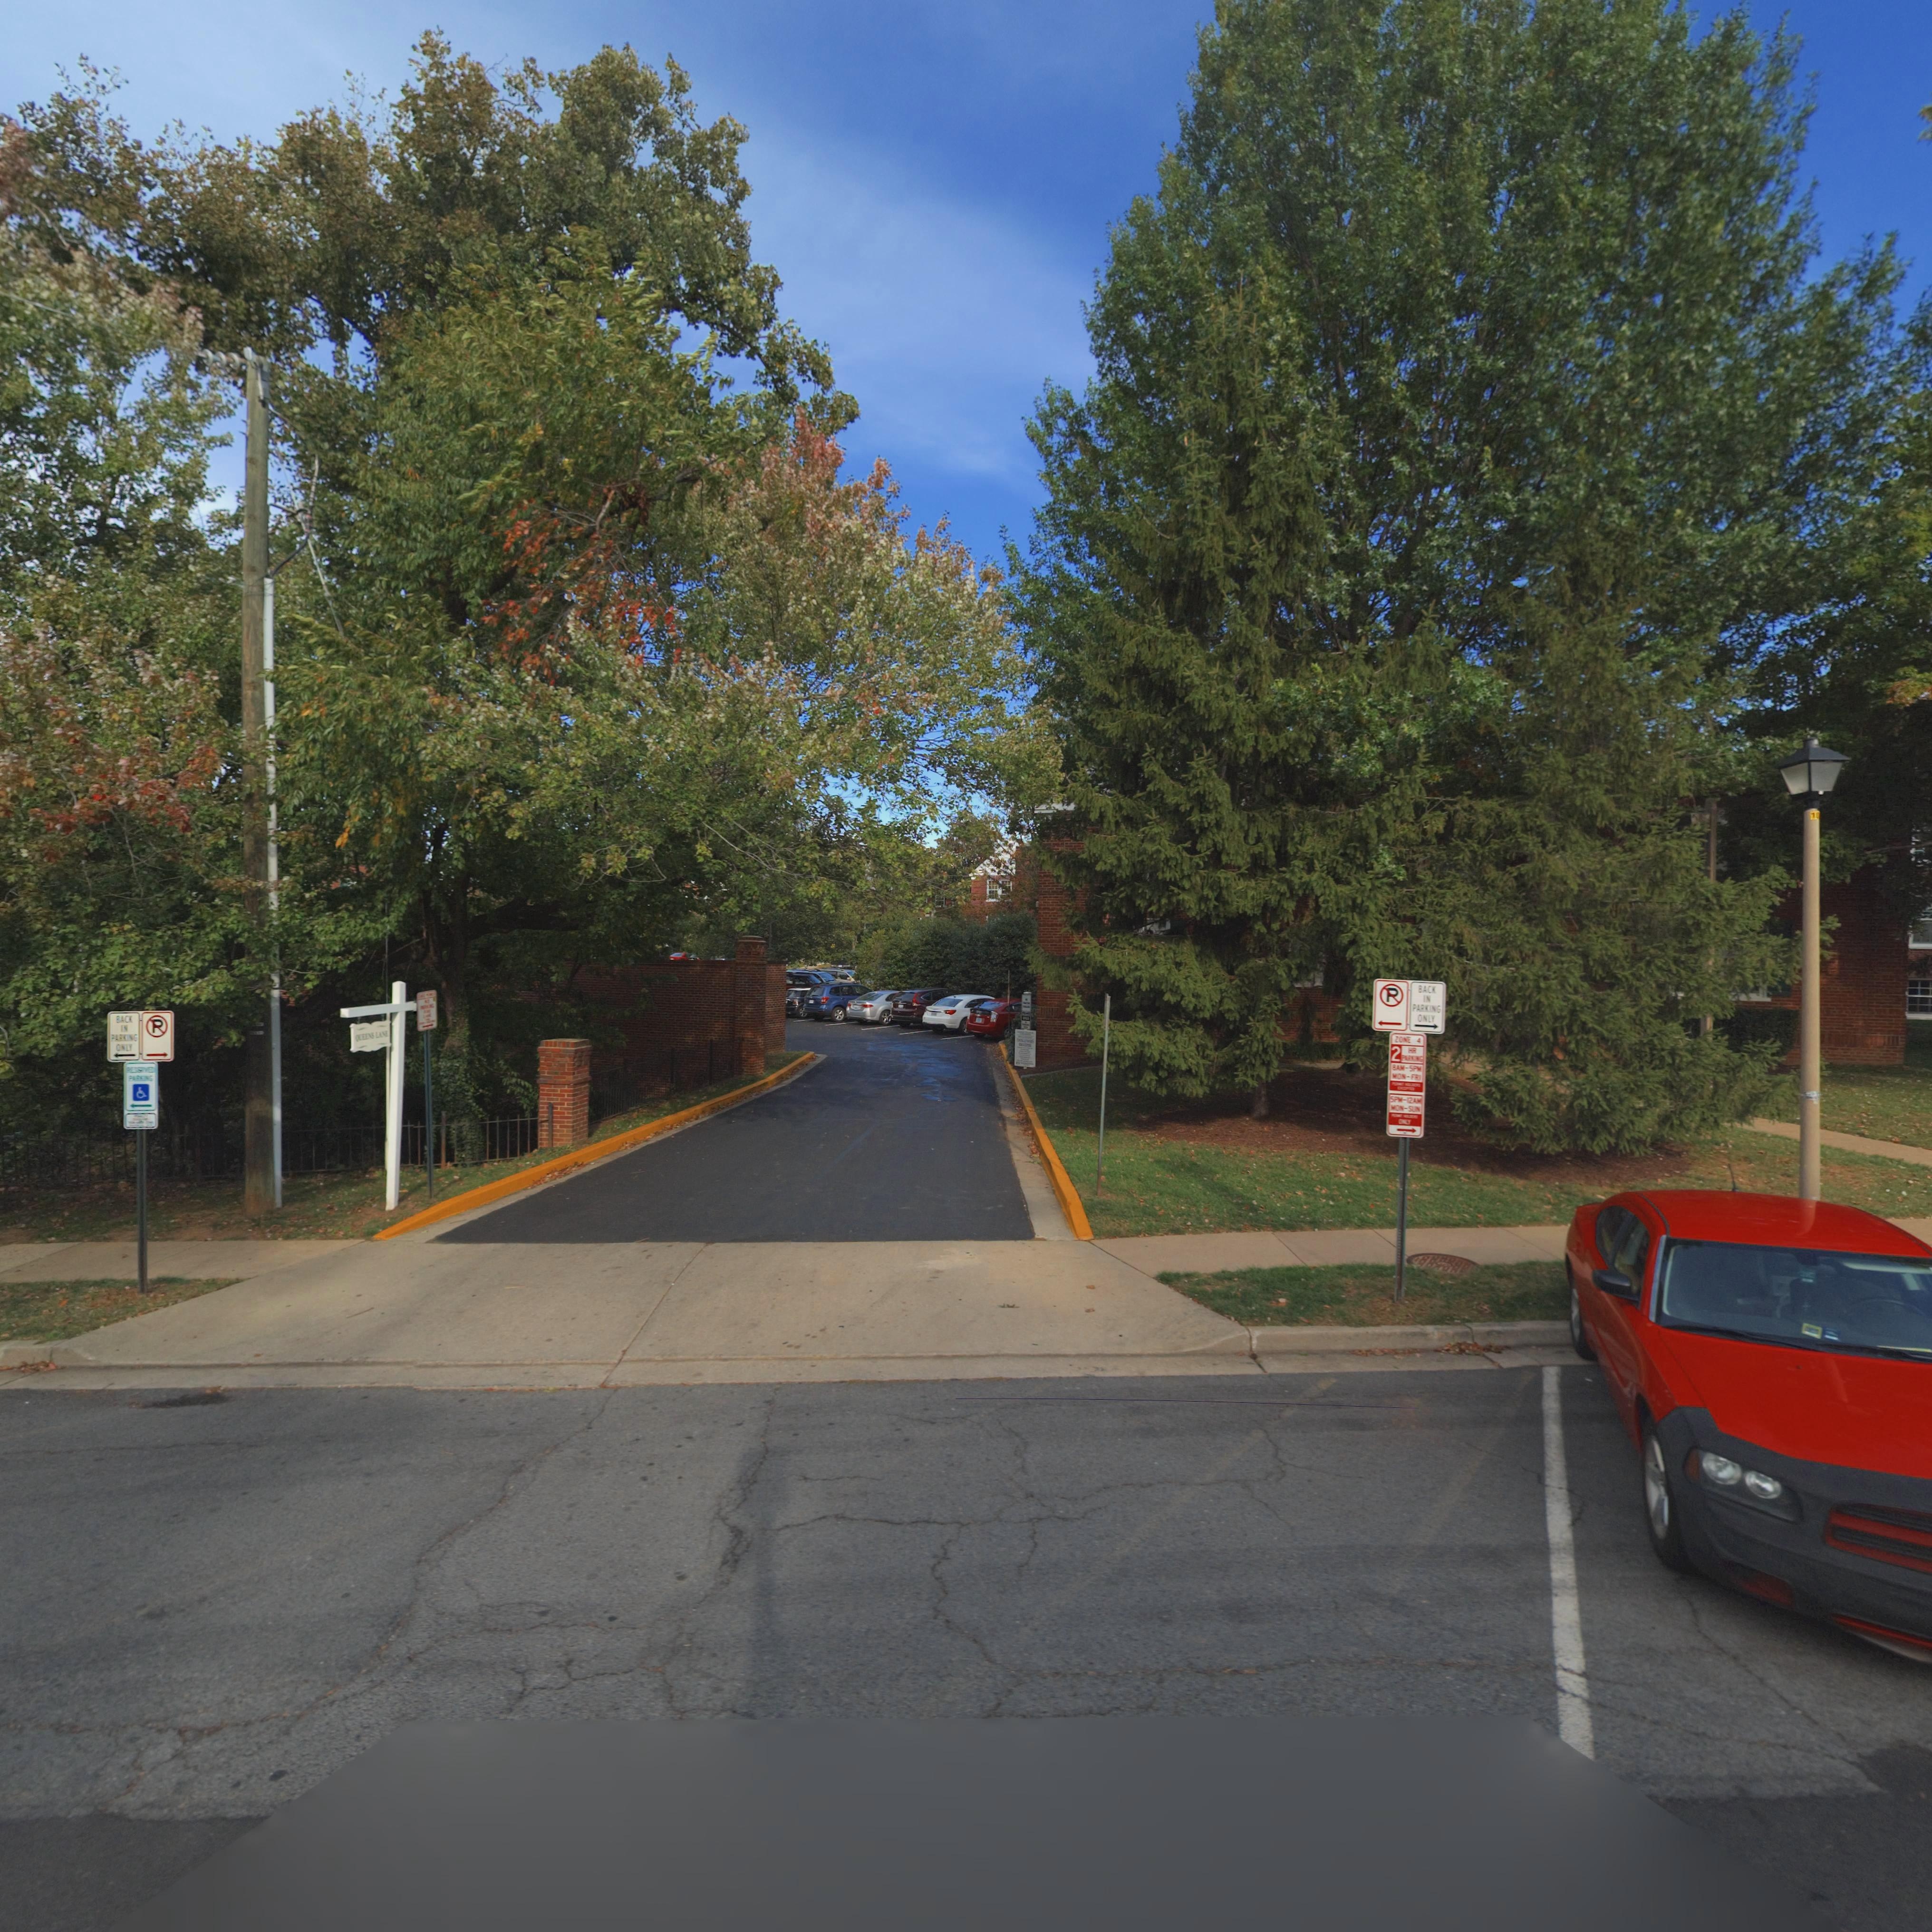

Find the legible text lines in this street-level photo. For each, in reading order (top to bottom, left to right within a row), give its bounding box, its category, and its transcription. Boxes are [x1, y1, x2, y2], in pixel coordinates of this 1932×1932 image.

[1810, 812, 1815, 819] None: 1
[1417, 985, 1437, 994] None: BACK
[1422, 994, 1431, 1003] None: IN
[1412, 1003, 1441, 1014] None: PARKING
[116, 1015, 133, 1024] None: BACK
[1417, 1014, 1436, 1023] None: ONLY
[120, 1024, 129, 1033] None: IN
[109, 1034, 138, 1043] None: PARKING
[355, 1030, 388, 1043] StreetName: QUEENS LANE
[1394, 1035, 1421, 1044] None: ZONE 4
[116, 1043, 133, 1052] None: ONLY
[1391, 1045, 1401, 1063] None: 2
[1407, 1047, 1417, 1054] None: HR
[1401, 1054, 1423, 1062] None: PARKING
[126, 1067, 155, 1073] None: RES*RVED
[1391, 1064, 1422, 1072] None: 8AM-5PM
[128, 1075, 153, 1082] None: PARKING
[1392, 1072, 1421, 1081] None: MON-FRI
[1390, 1095, 1422, 1104] None: 5PM-12AM
[1390, 1104, 1421, 1113] None: MON-SUN
[1398, 1118, 1411, 1125] None: ONLY